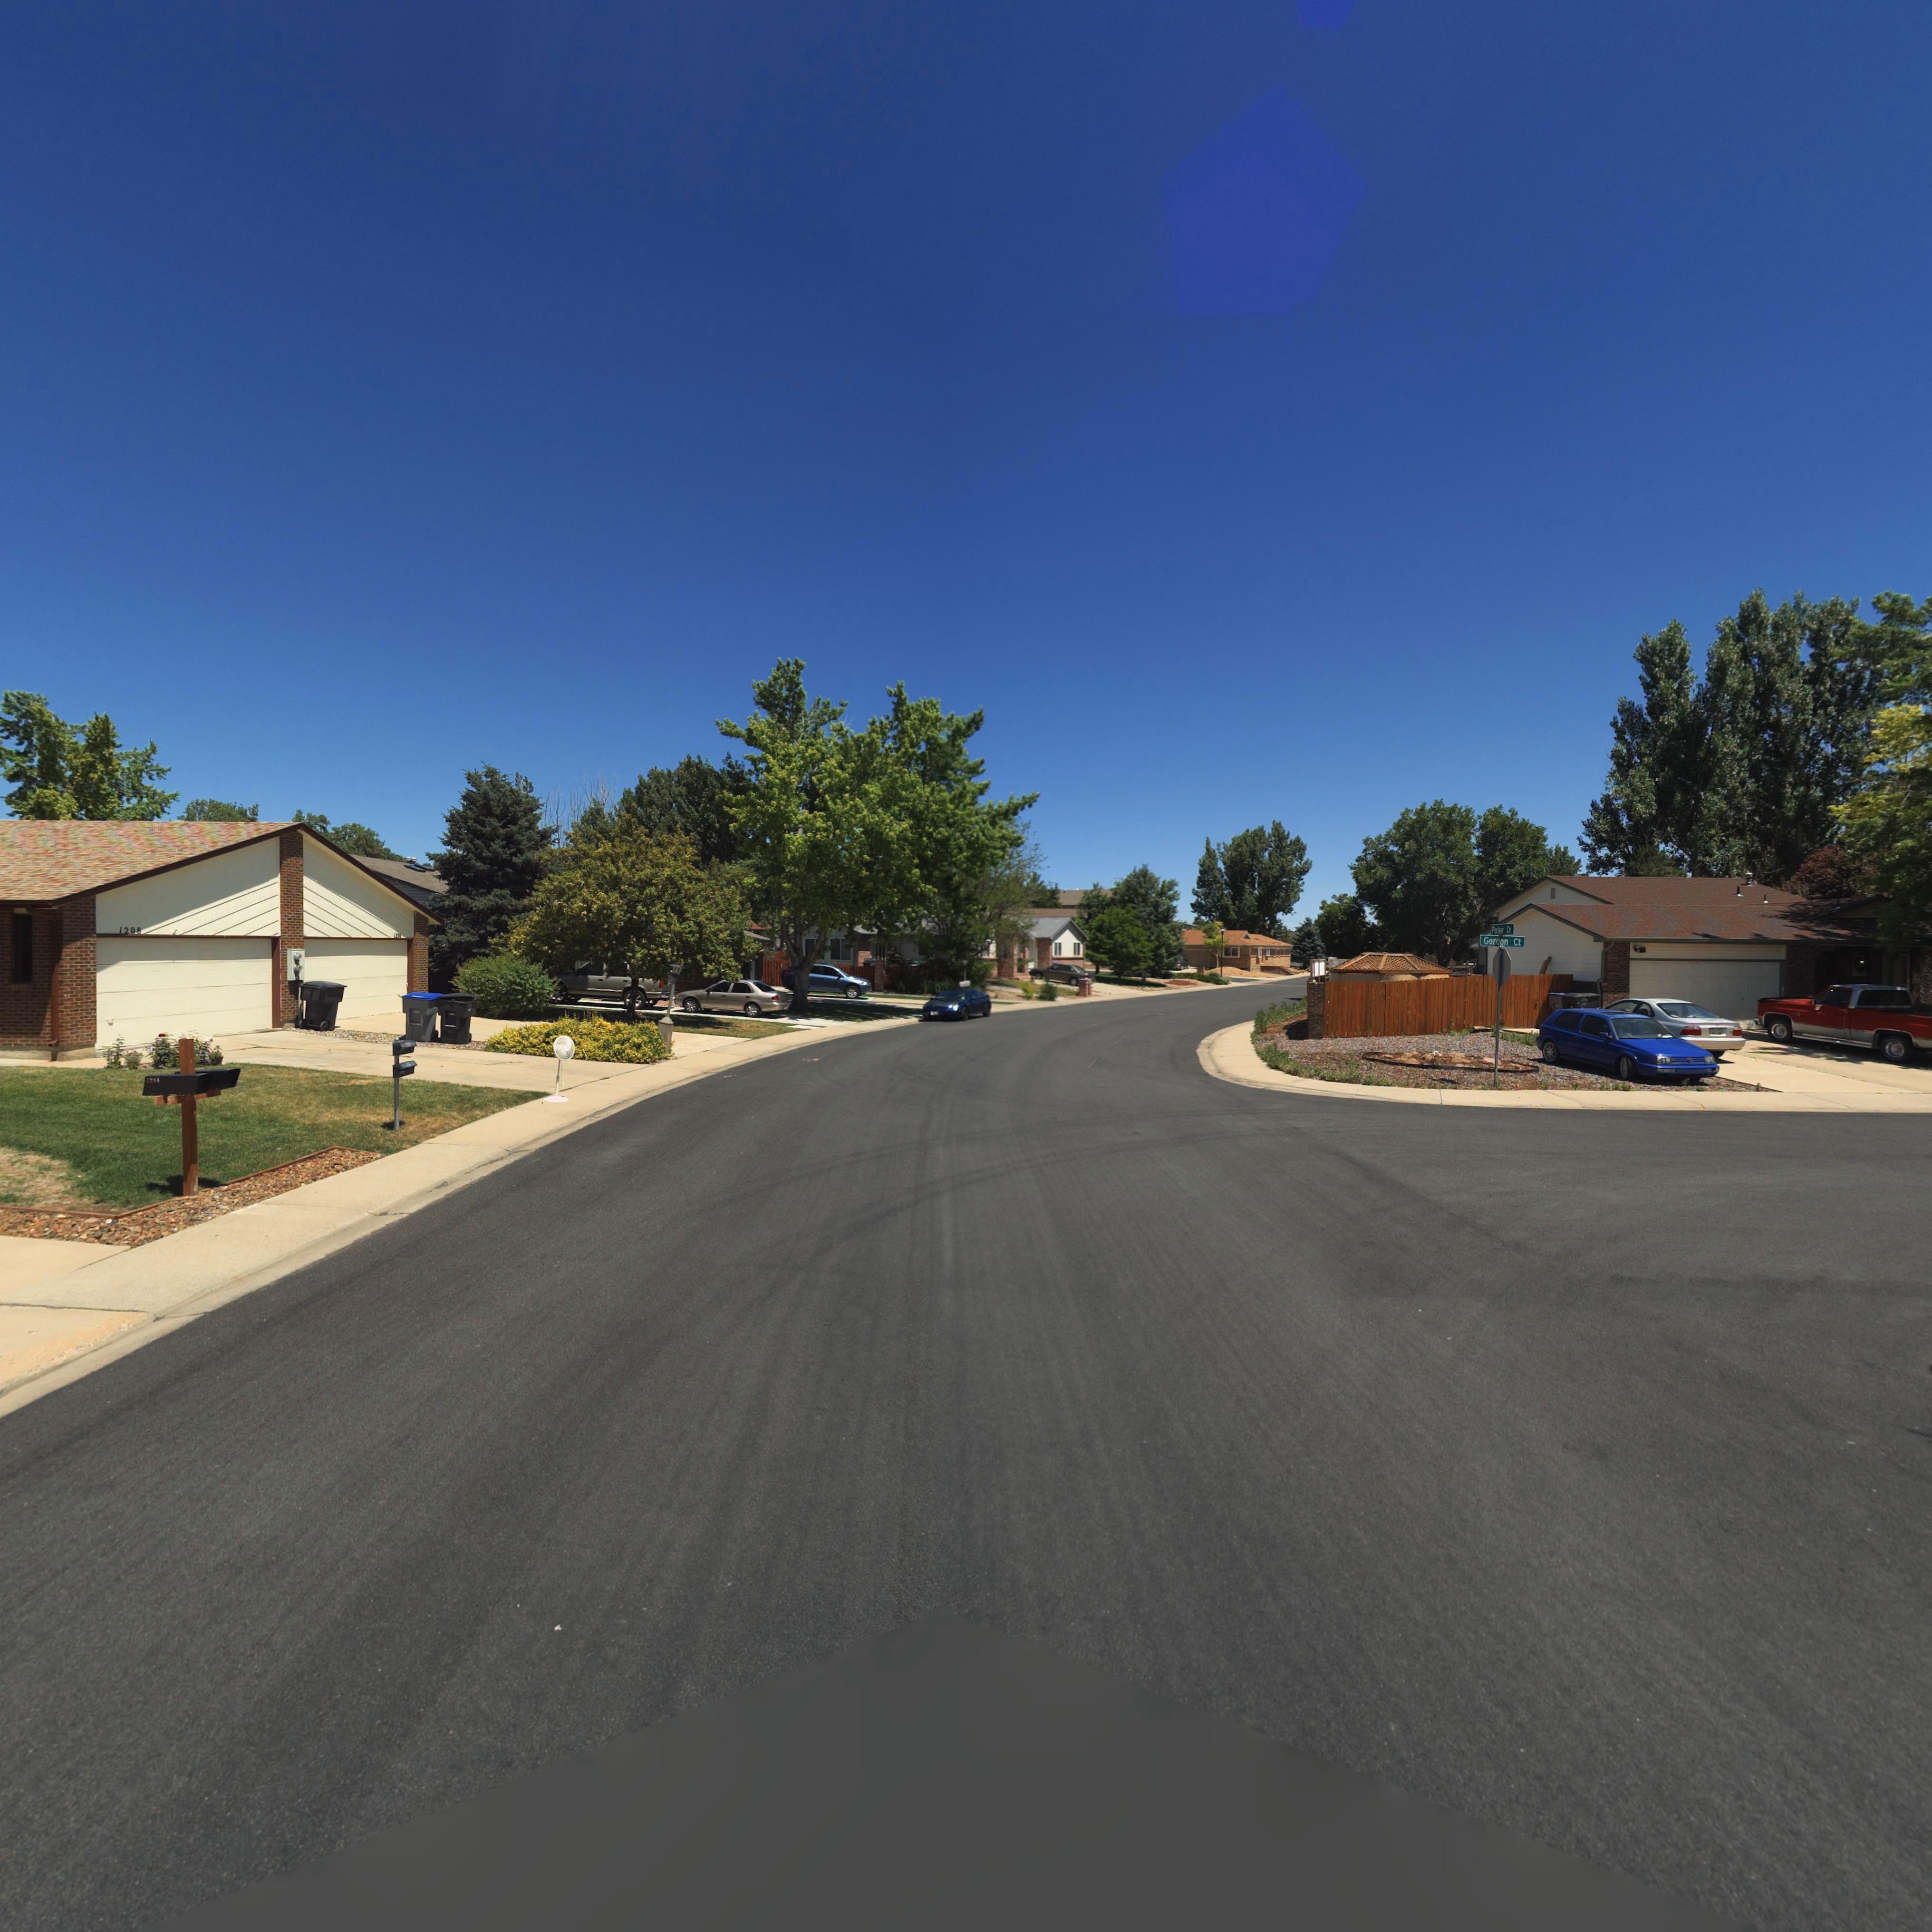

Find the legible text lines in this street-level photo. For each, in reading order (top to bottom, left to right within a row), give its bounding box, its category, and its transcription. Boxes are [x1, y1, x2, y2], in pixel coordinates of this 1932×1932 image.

[119, 926, 142, 934] StreetNumber: 1208
[1491, 925, 1512, 934] StreetName: Parker Dr
[393, 932, 401, 938] StreetNumber: 12**
[1483, 936, 1521, 946] StreetName: Gordon Ct